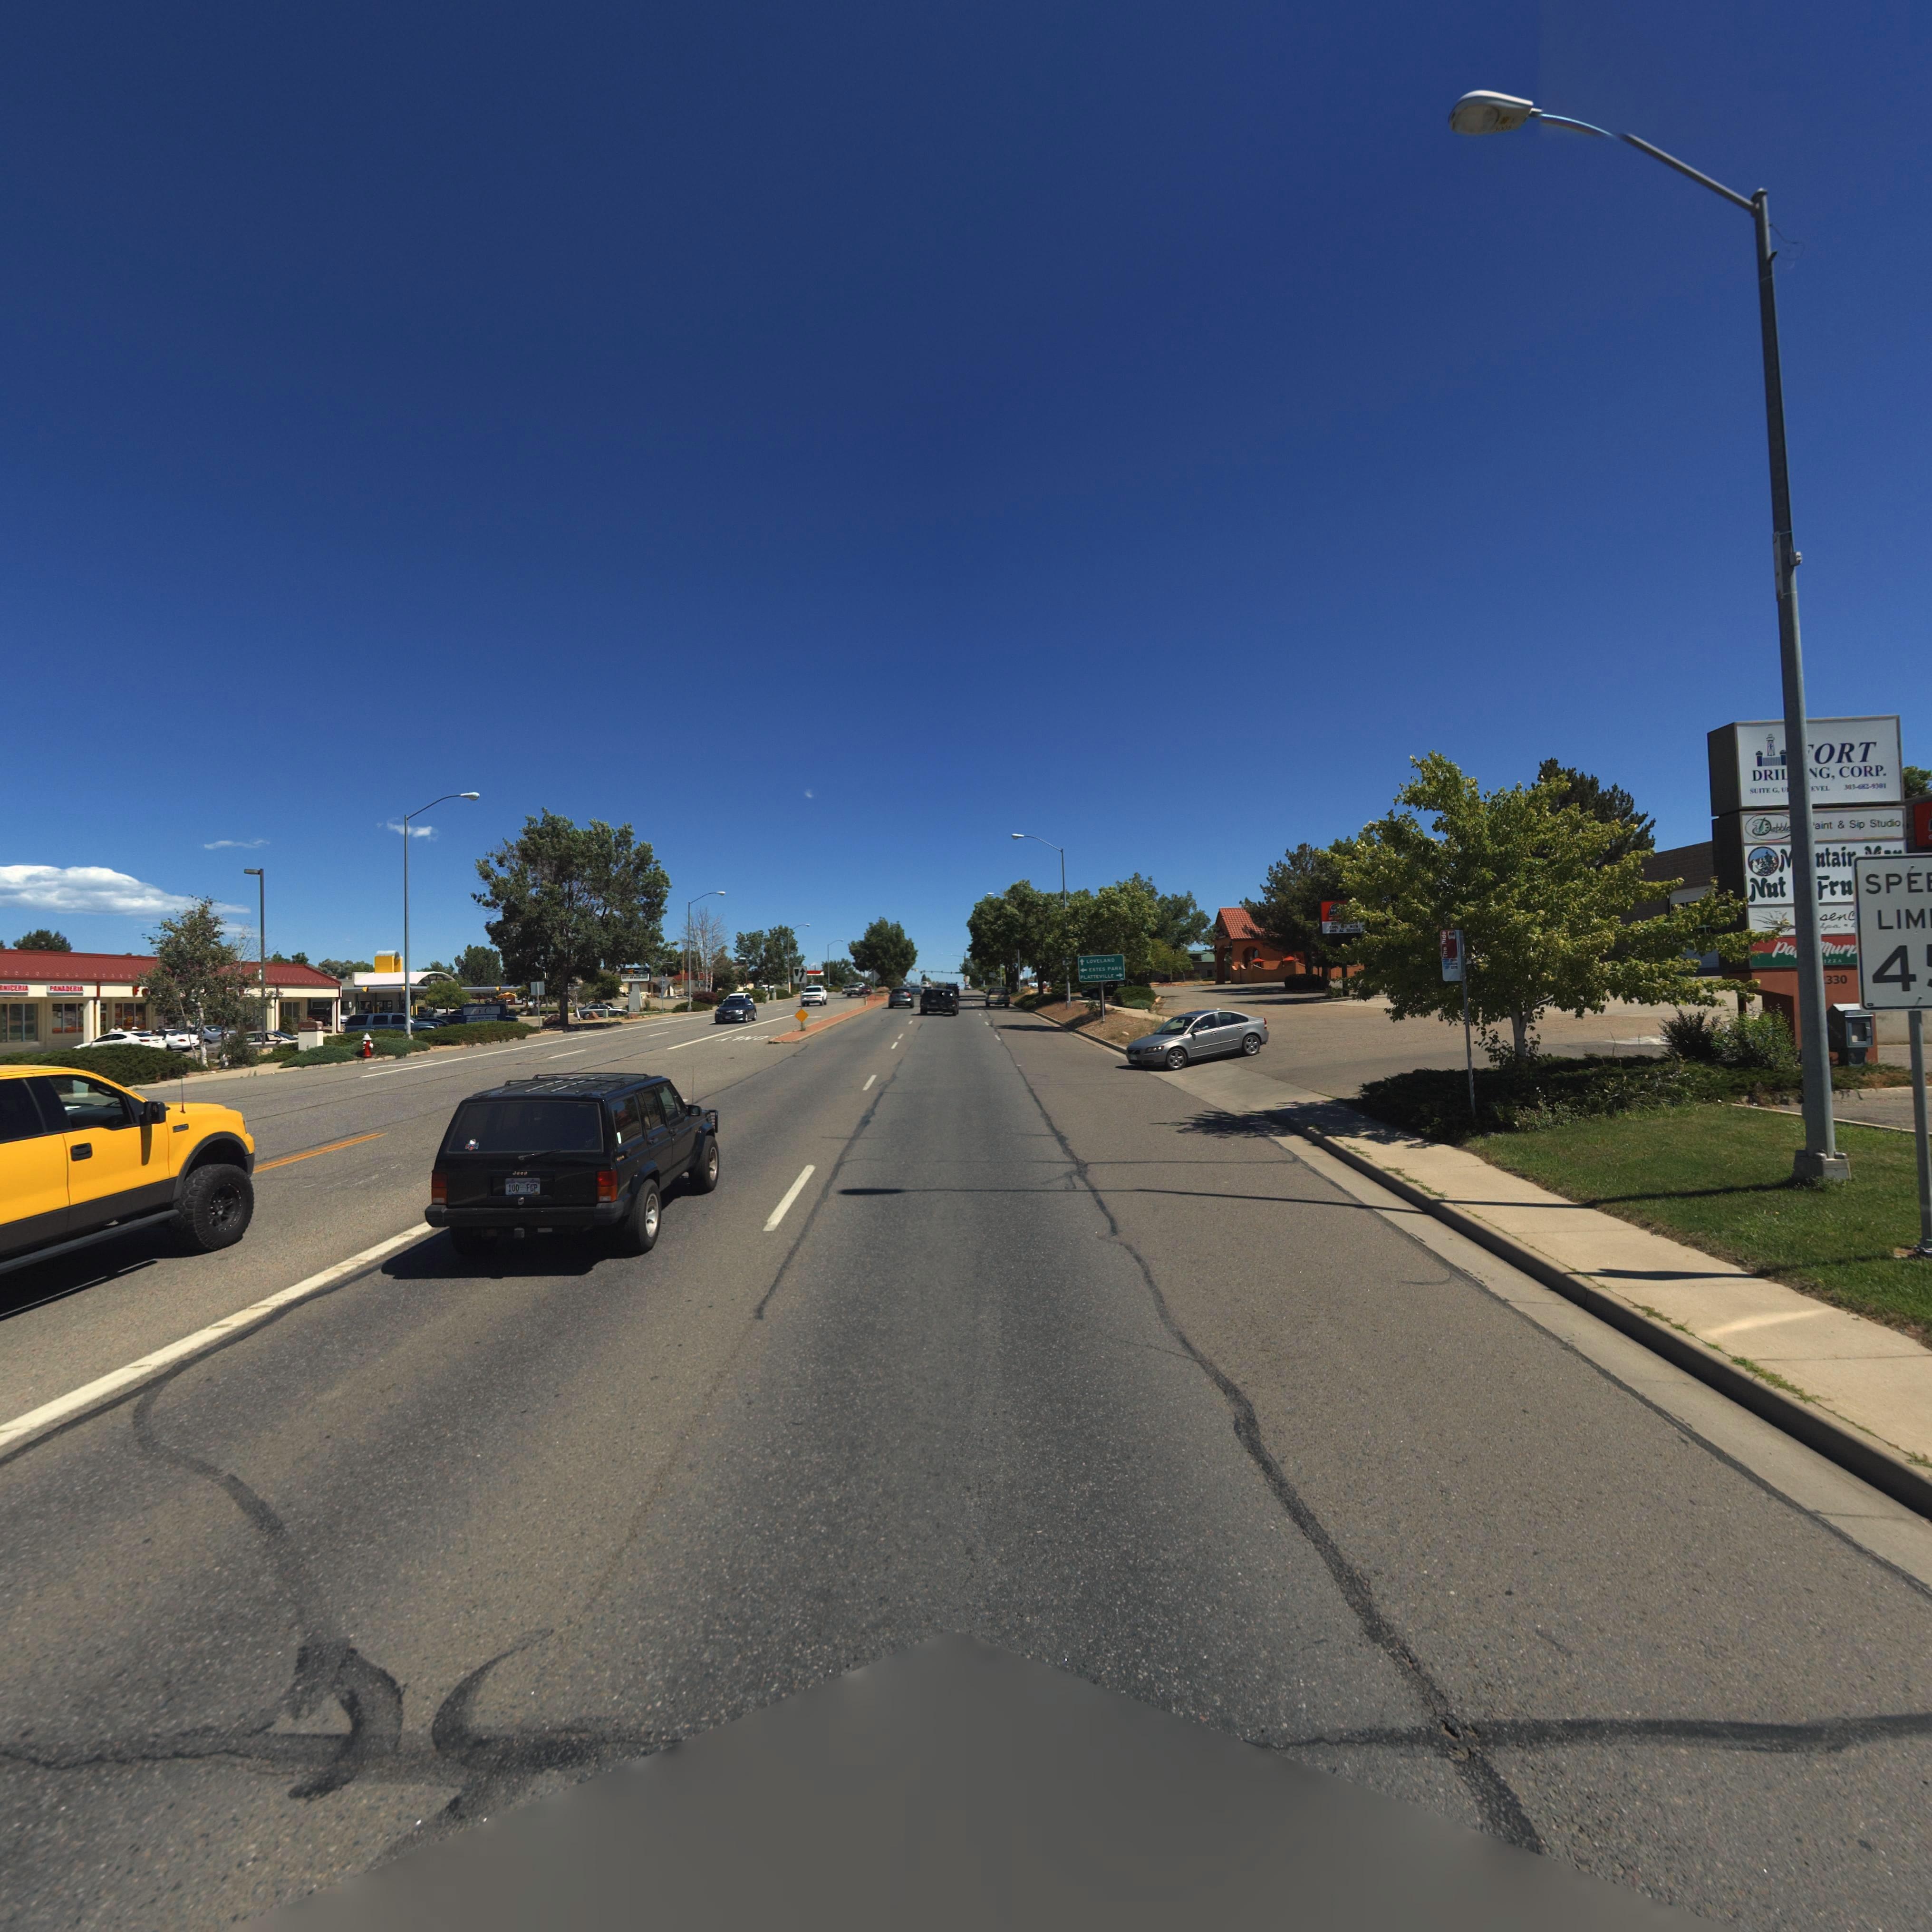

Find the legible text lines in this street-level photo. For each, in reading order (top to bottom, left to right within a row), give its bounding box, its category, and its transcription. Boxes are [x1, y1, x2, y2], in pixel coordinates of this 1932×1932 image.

[1805, 741, 1879, 766] BusinessName: *ORT
[1751, 764, 1887, 782] BusinessName: DRIL**NG, CORP.
[1751, 815, 1791, 837] BusinessName: Dabble
[1777, 844, 1903, 873] BusinessName: M**ntai* M**
[1748, 875, 1854, 903] BusinessName: Nut * Fru
[1328, 909, 1335, 916] BusinessName: M
[1330, 904, 1337, 910] BusinessName: G
[1818, 909, 1855, 921] BusinessName: senc
[1770, 940, 1857, 959] BusinessName: Pa** Murp****
[1823, 958, 1842, 964] BusinessName: IZZA
[1823, 974, 1847, 985] StreetNumber: *330
[3, 985, 28, 991] BusinessName: NICERIA
[49, 985, 83, 992] BusinessName: PANADERIA
[133, 985, 149, 996] BusinessName: FO